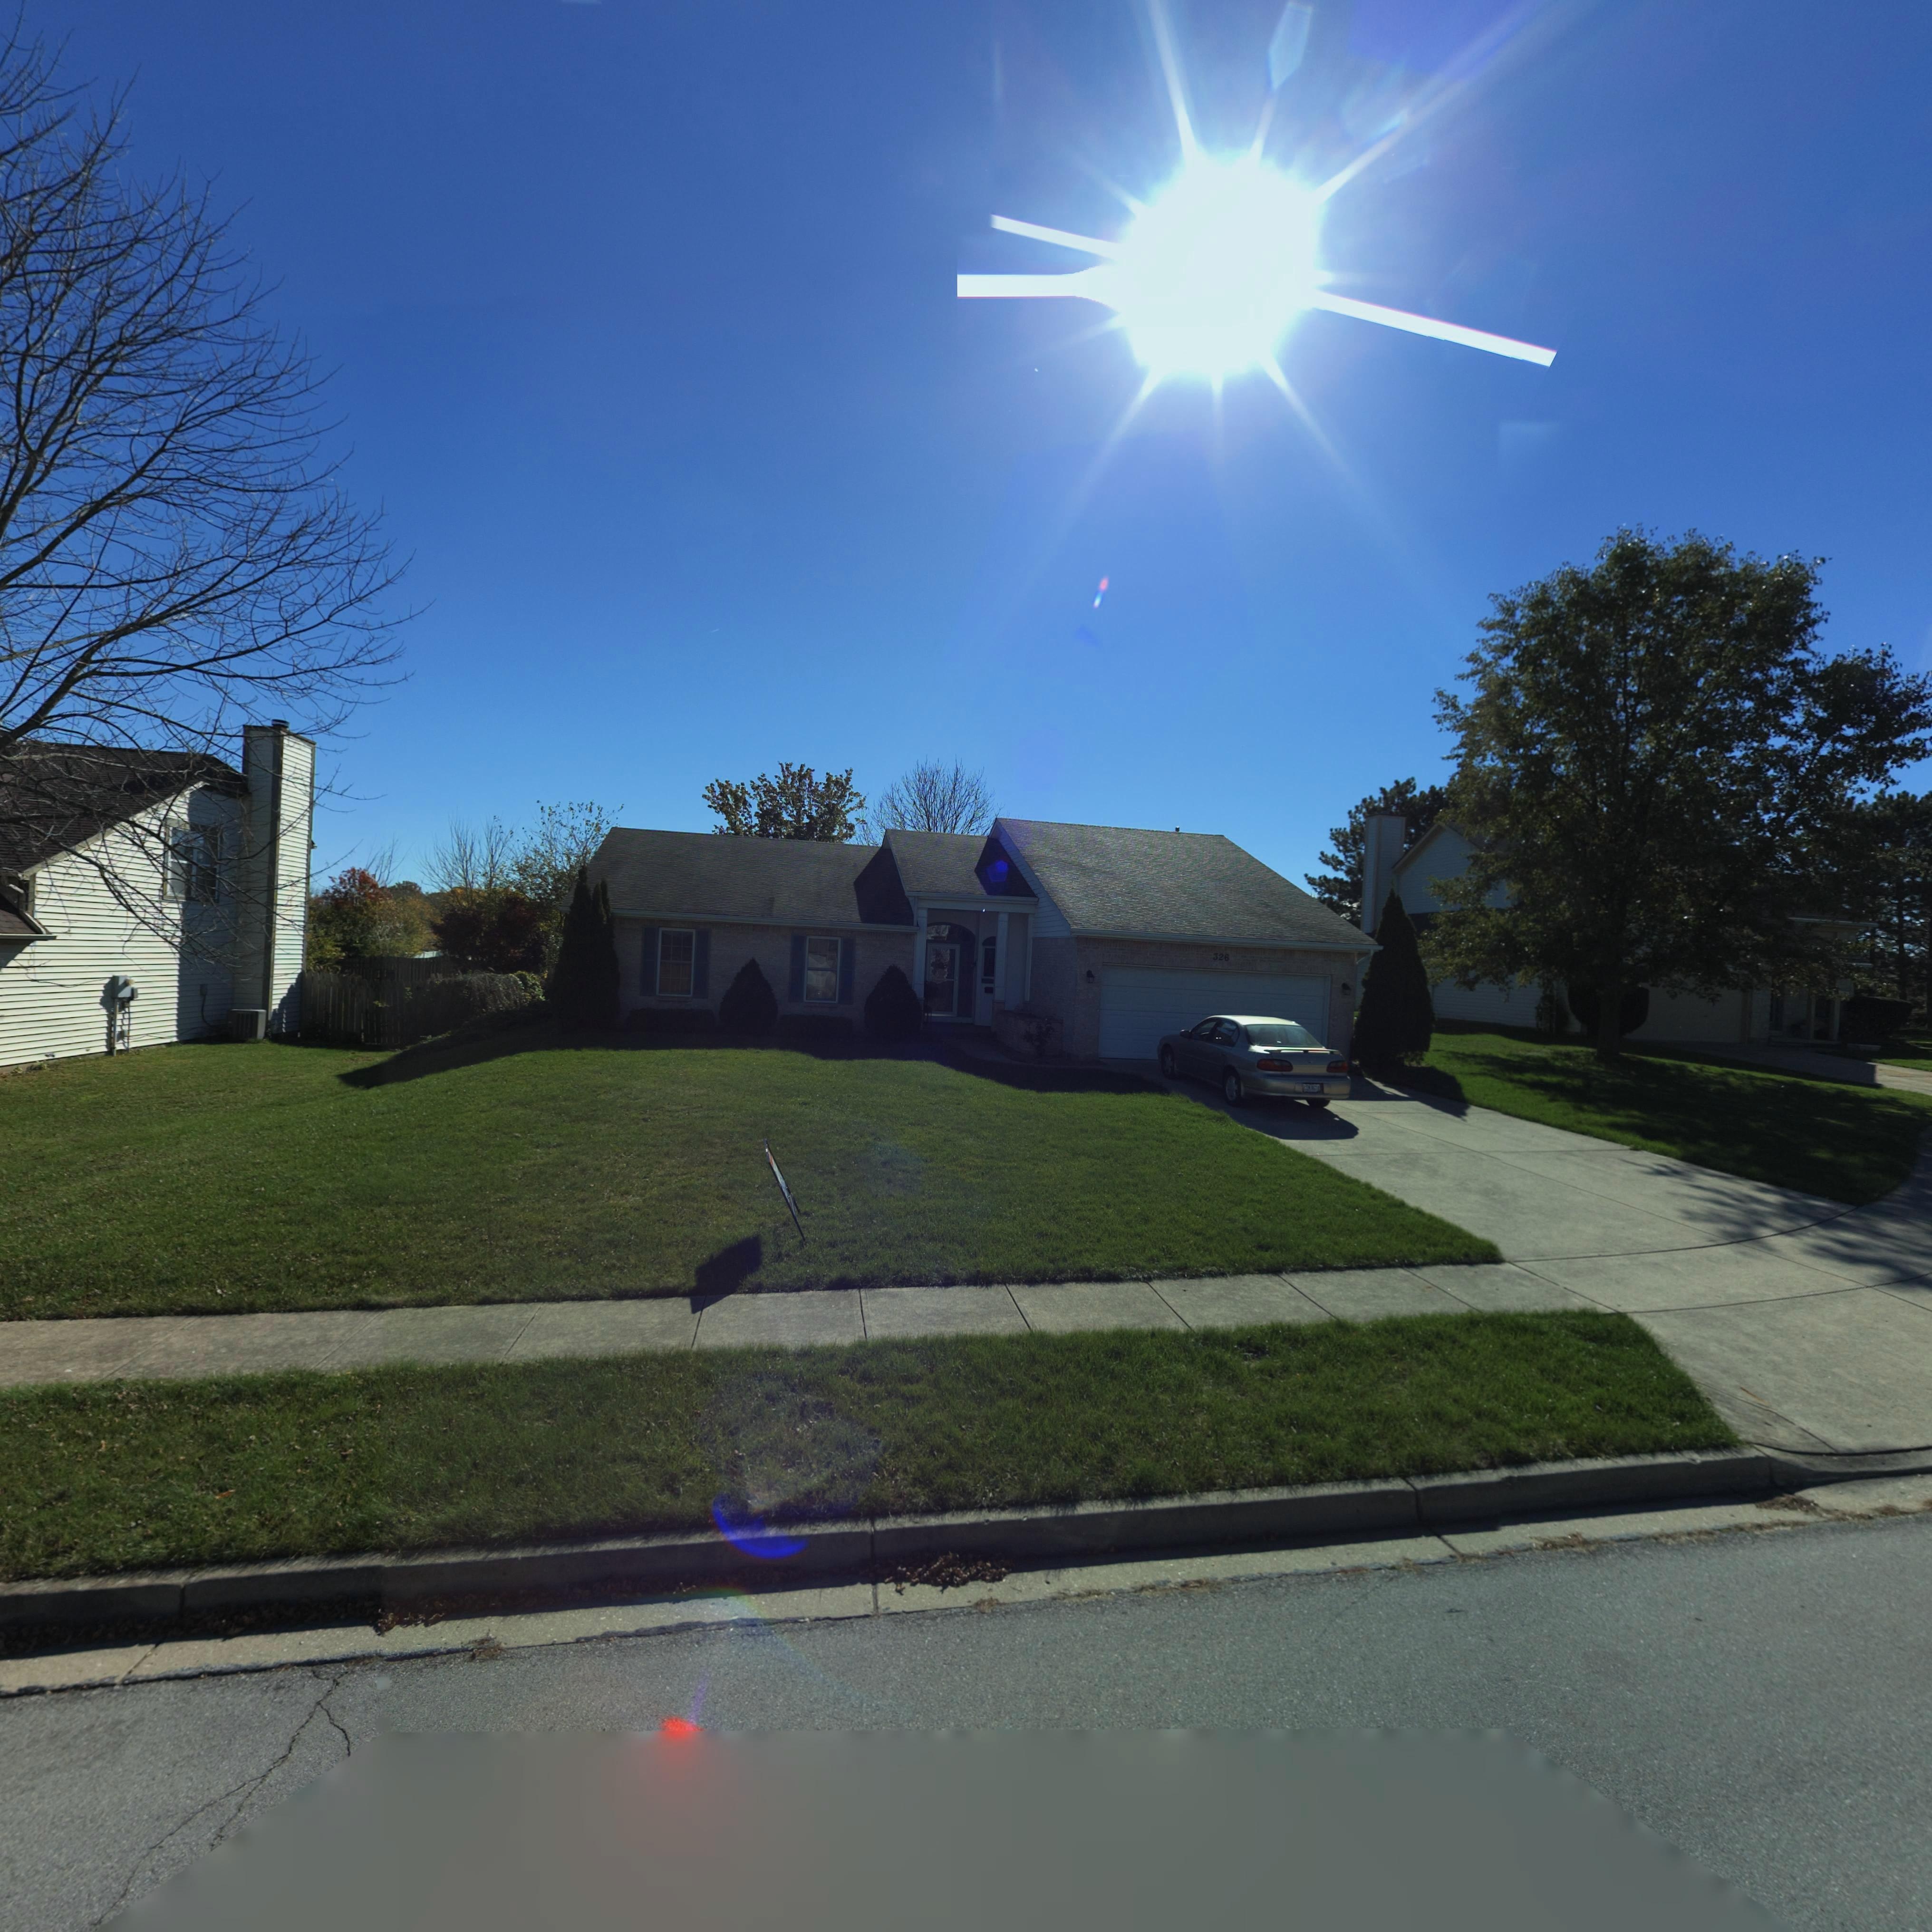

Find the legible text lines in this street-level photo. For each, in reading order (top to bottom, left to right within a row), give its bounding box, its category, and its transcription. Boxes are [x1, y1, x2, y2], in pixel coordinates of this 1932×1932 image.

[1212, 952, 1230, 962] StreetNumber: 326